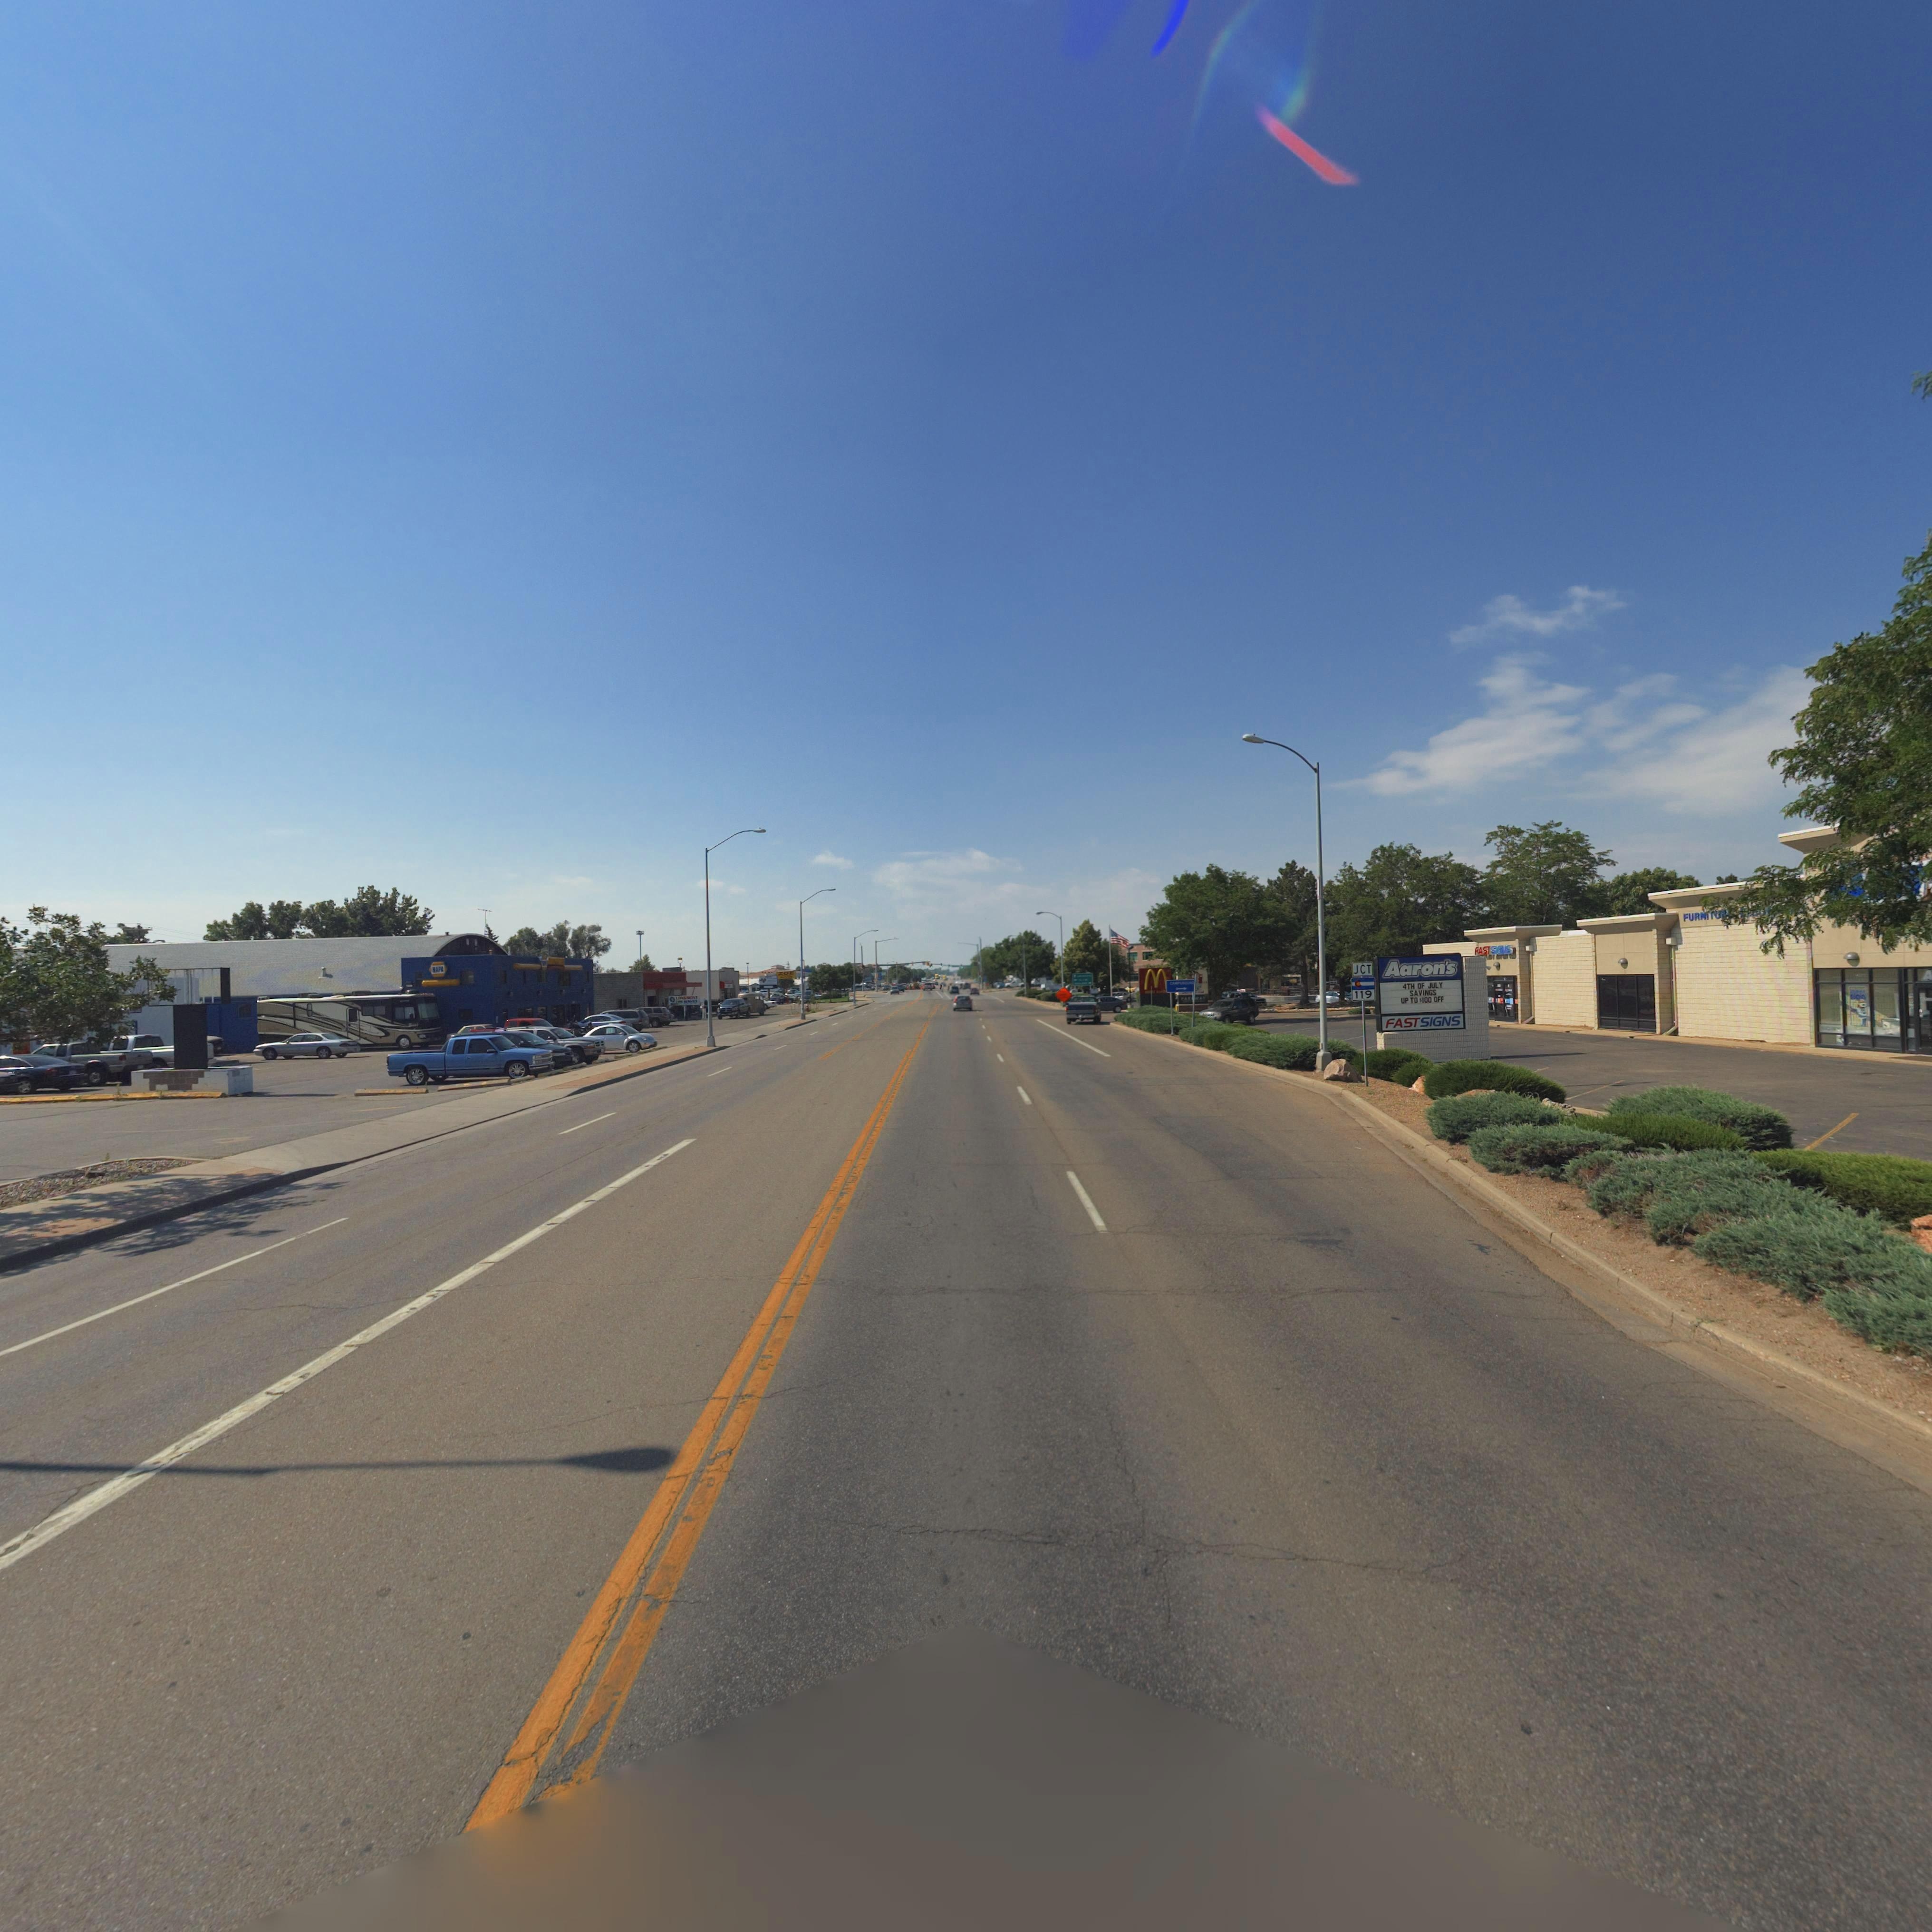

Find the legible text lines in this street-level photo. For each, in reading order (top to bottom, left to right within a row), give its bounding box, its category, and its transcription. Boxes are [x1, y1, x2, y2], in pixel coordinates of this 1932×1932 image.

[1475, 945, 1513, 955] BusinessName: FAST SIGNS
[541, 960, 547, 966] BusinessName: NAPA
[547, 957, 564, 965] BusinessName: AUTO PARTS
[432, 966, 444, 972] BusinessName: NAPA
[1381, 959, 1458, 978] BusinessName: Aaron's
[778, 971, 794, 975] BusinessName: ZOE
[675, 995, 697, 1000] BusinessName: LONGMONT
[675, 999, 697, 1003] BusinessName: TIRE SERVICE
[1385, 1015, 1461, 1028] BusinessName: FAST SIGNS